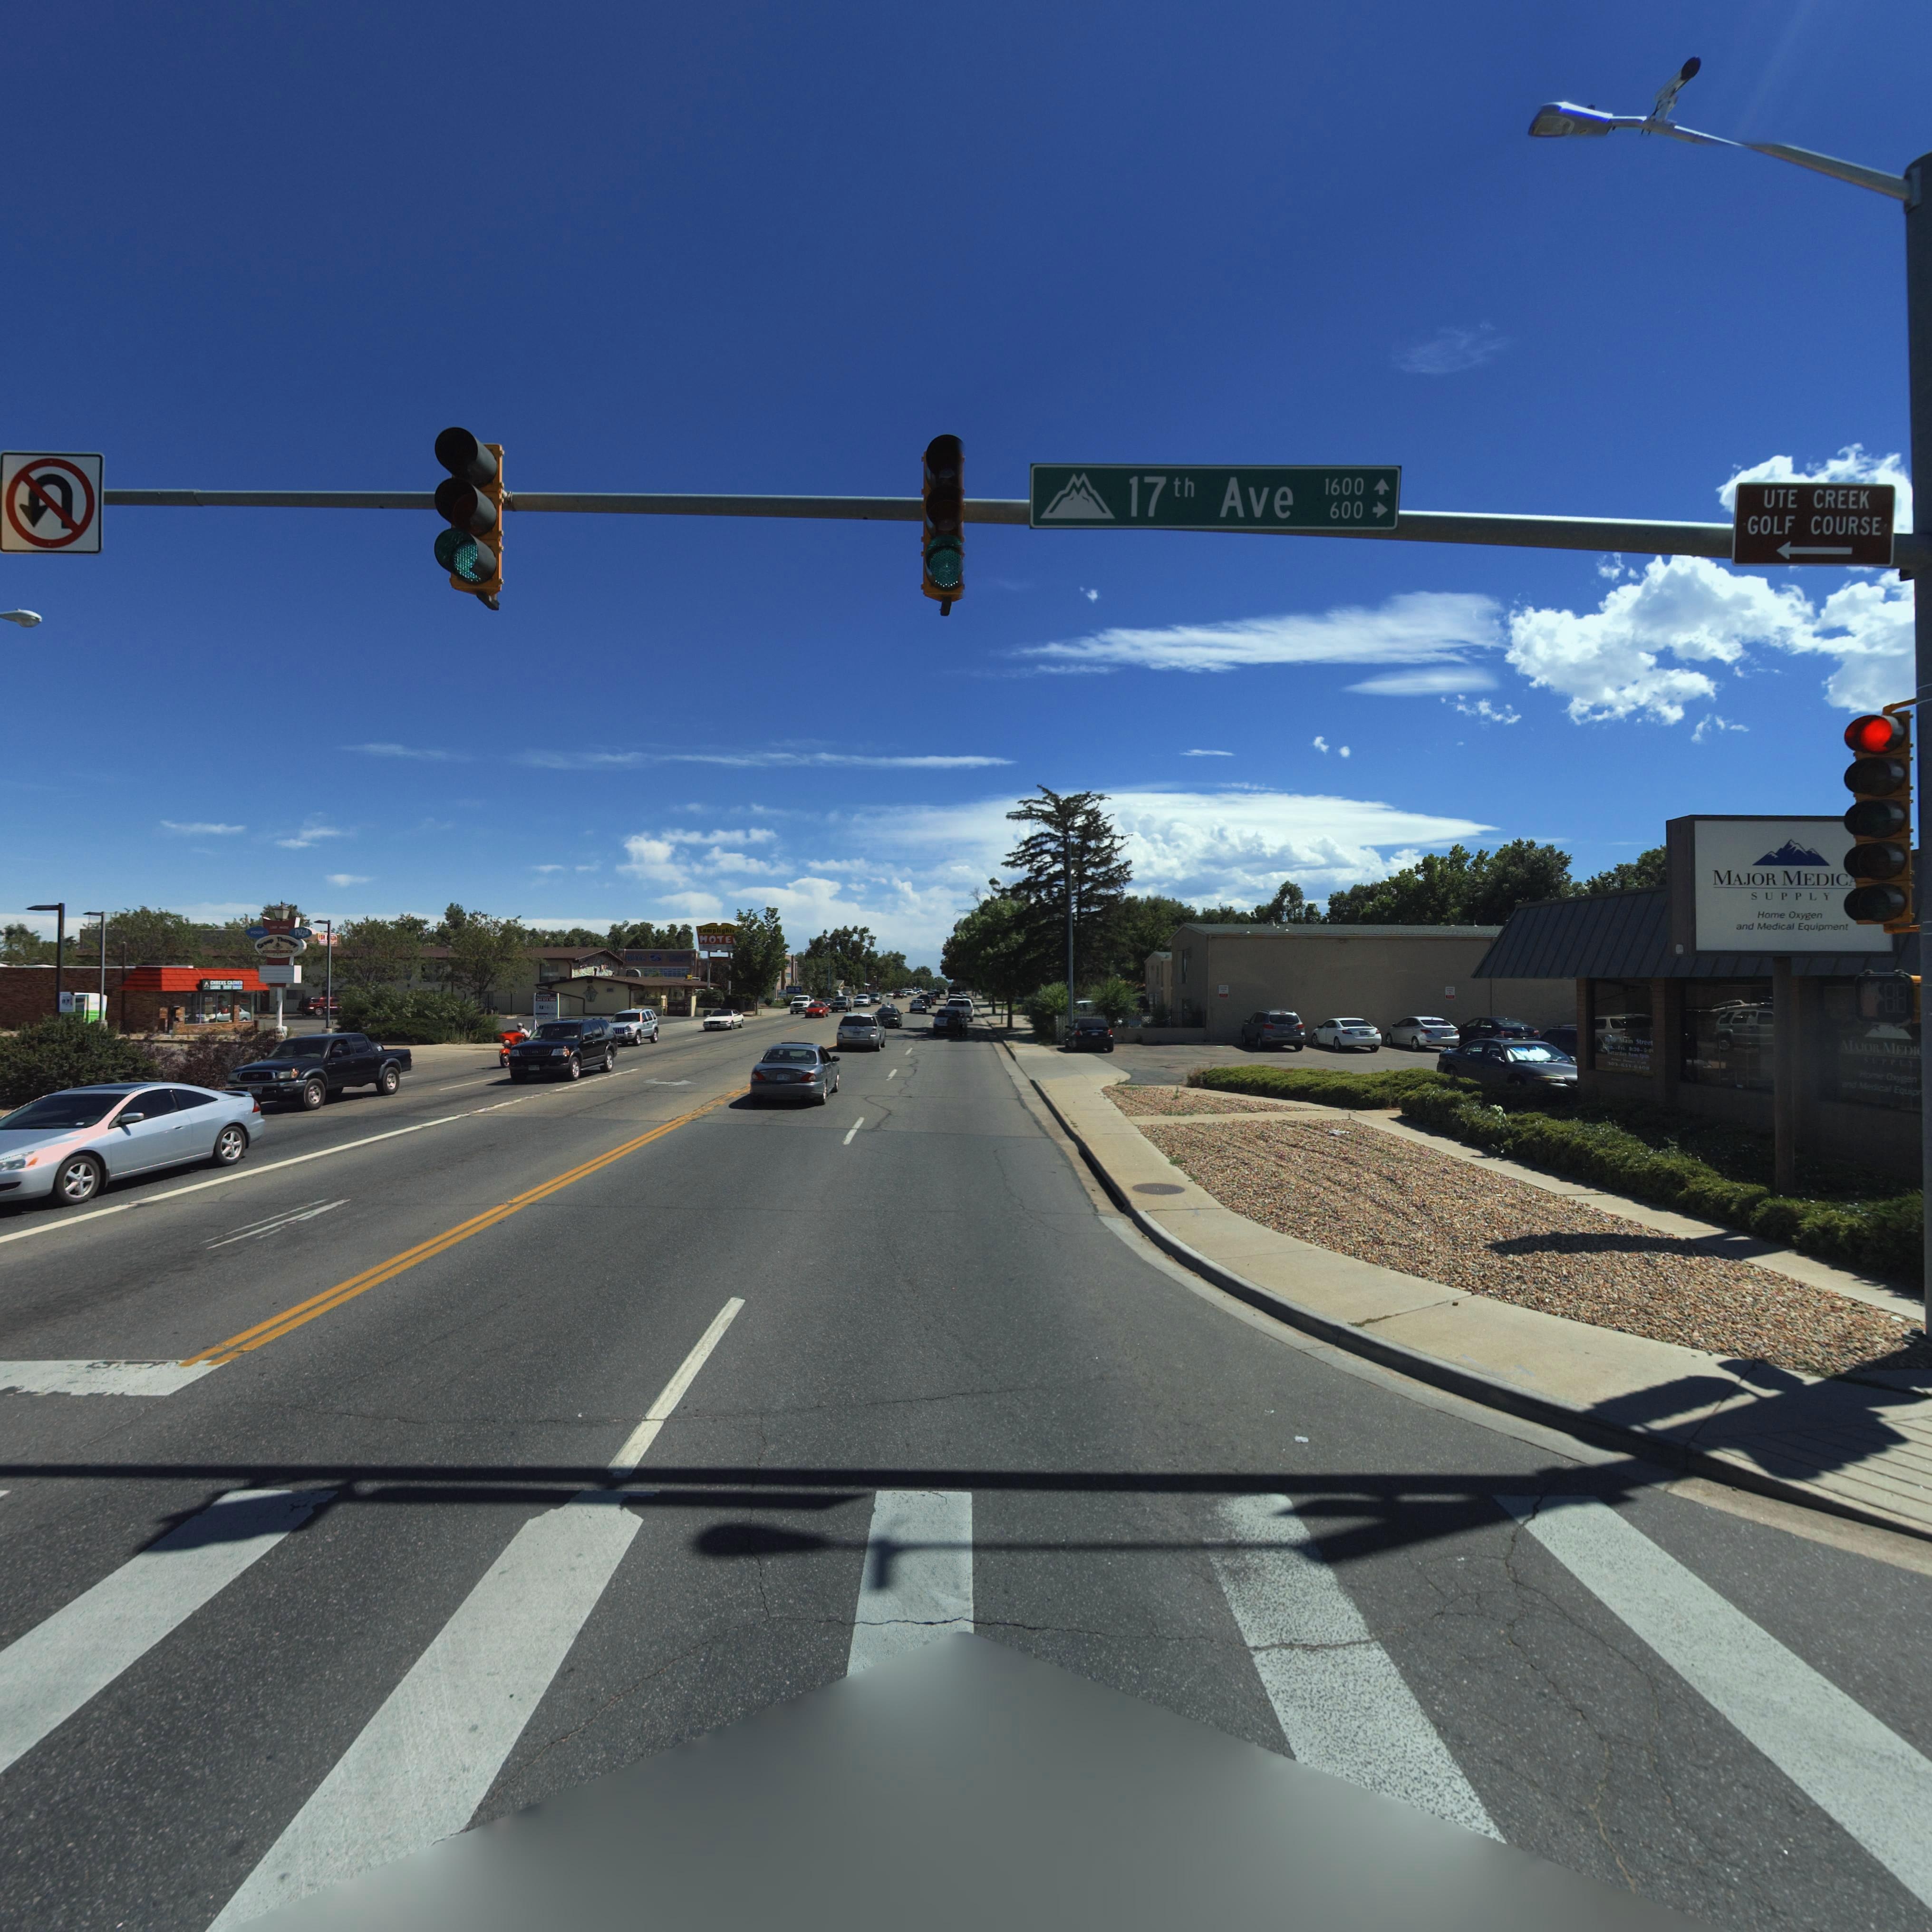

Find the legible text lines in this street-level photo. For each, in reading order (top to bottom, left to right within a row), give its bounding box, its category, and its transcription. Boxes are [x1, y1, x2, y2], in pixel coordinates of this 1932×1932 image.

[1323, 477, 1364, 497] StreetNumberRange: 1600
[1127, 473, 1295, 519] StreetName: 17th Ave
[1329, 500, 1390, 520] StreetNumberRange: 600 ->
[1711, 869, 1858, 886] BusinessName: MAJOR MEDICAL
[1750, 891, 1830, 901] BusinessName: SUPPLY
[699, 927, 740, 934] BusinessName:   Lamplighte*
[699, 935, 741, 943] BusinessName: MOTEL
[210, 980, 243, 985] BusinessName: CHECKS CASHED
[1604, 1035, 1616, 1042] StreetNumber: 1649
[1619, 1036, 1653, 1045] StreetName: Main Street
[1839, 1039, 1917, 1057] BusinessName: MAJOR MEDI
[1863, 1056, 1913, 1067] BusinessName: SUPPLY